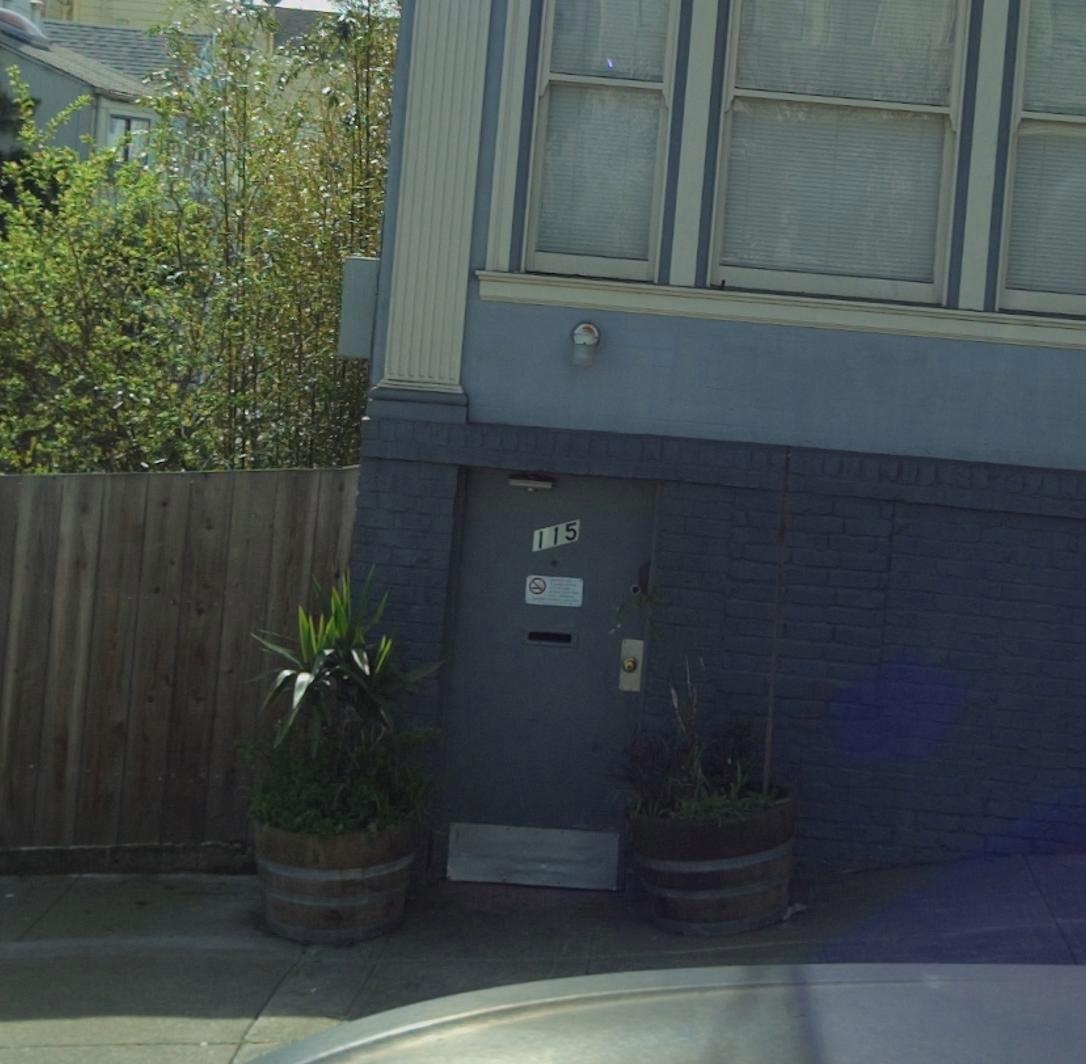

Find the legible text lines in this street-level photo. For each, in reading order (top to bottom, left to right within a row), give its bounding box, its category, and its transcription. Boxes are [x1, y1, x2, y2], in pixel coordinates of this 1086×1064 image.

[532, 519, 579, 553] StreetNumber: 115